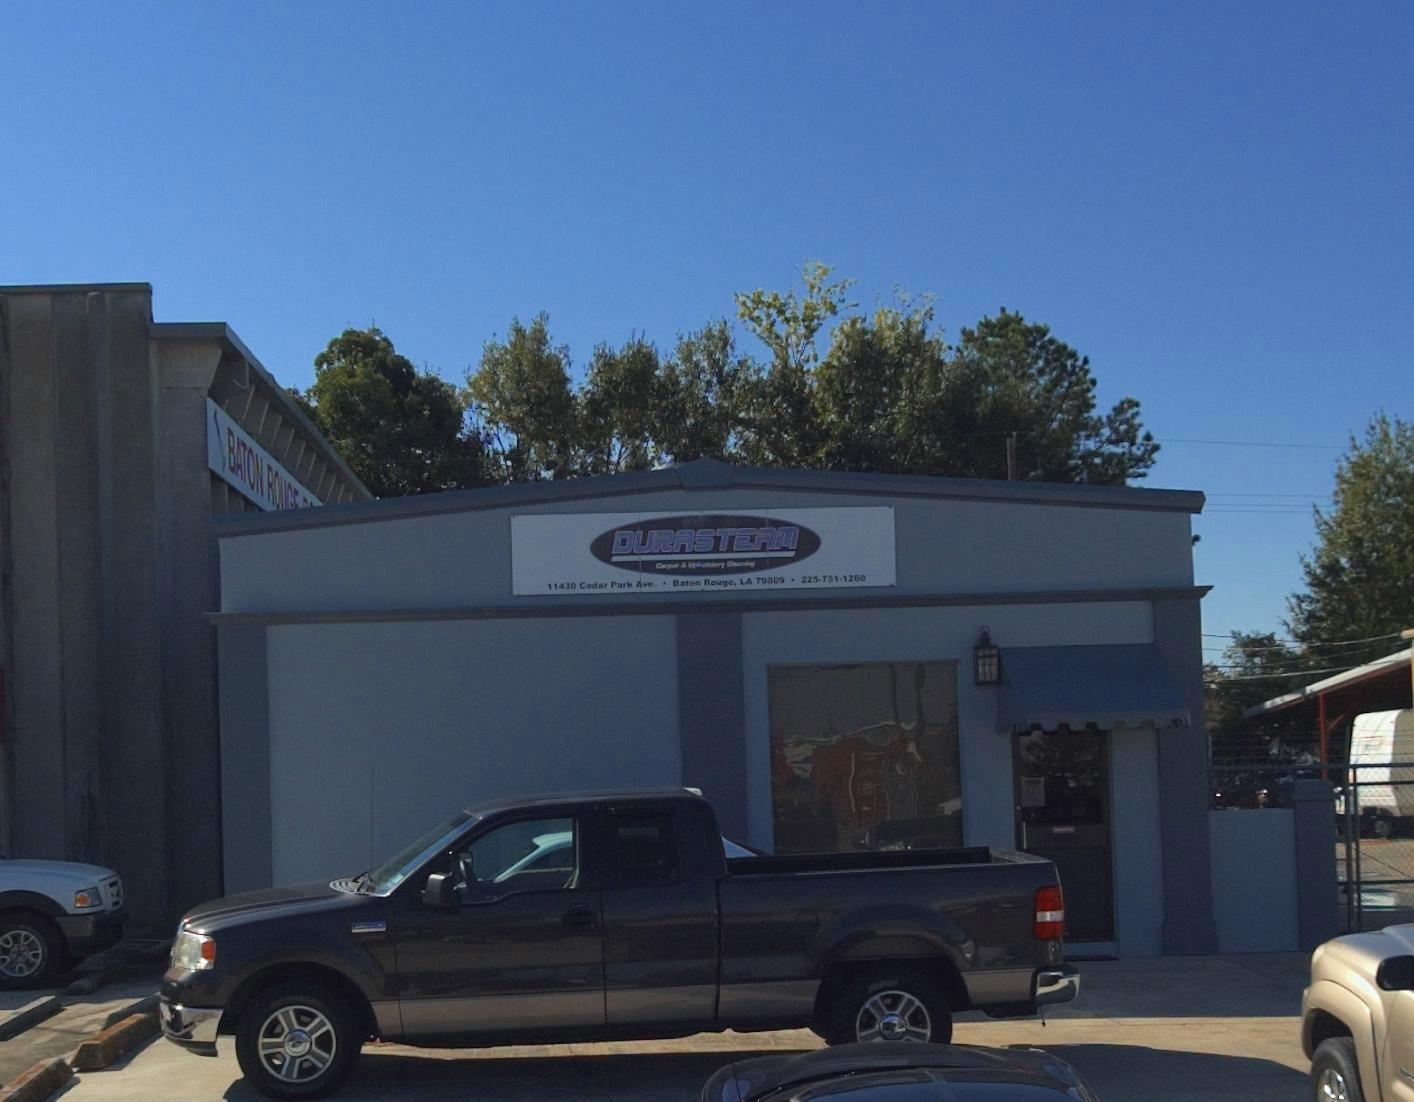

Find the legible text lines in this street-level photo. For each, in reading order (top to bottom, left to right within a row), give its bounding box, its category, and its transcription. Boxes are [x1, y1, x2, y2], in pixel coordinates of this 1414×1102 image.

[225, 424, 283, 512] BusinessName: BATON RO
[609, 524, 803, 556] BusinessName: DURASTEAM
[545, 578, 579, 593] StreetNumber: 11430
[578, 579, 660, 592] StreetName: Cedar Park Ave.
[670, 574, 788, 590] None: Baton Rouge, LA 70809
[798, 571, 869, 586] None: 225-751-1260